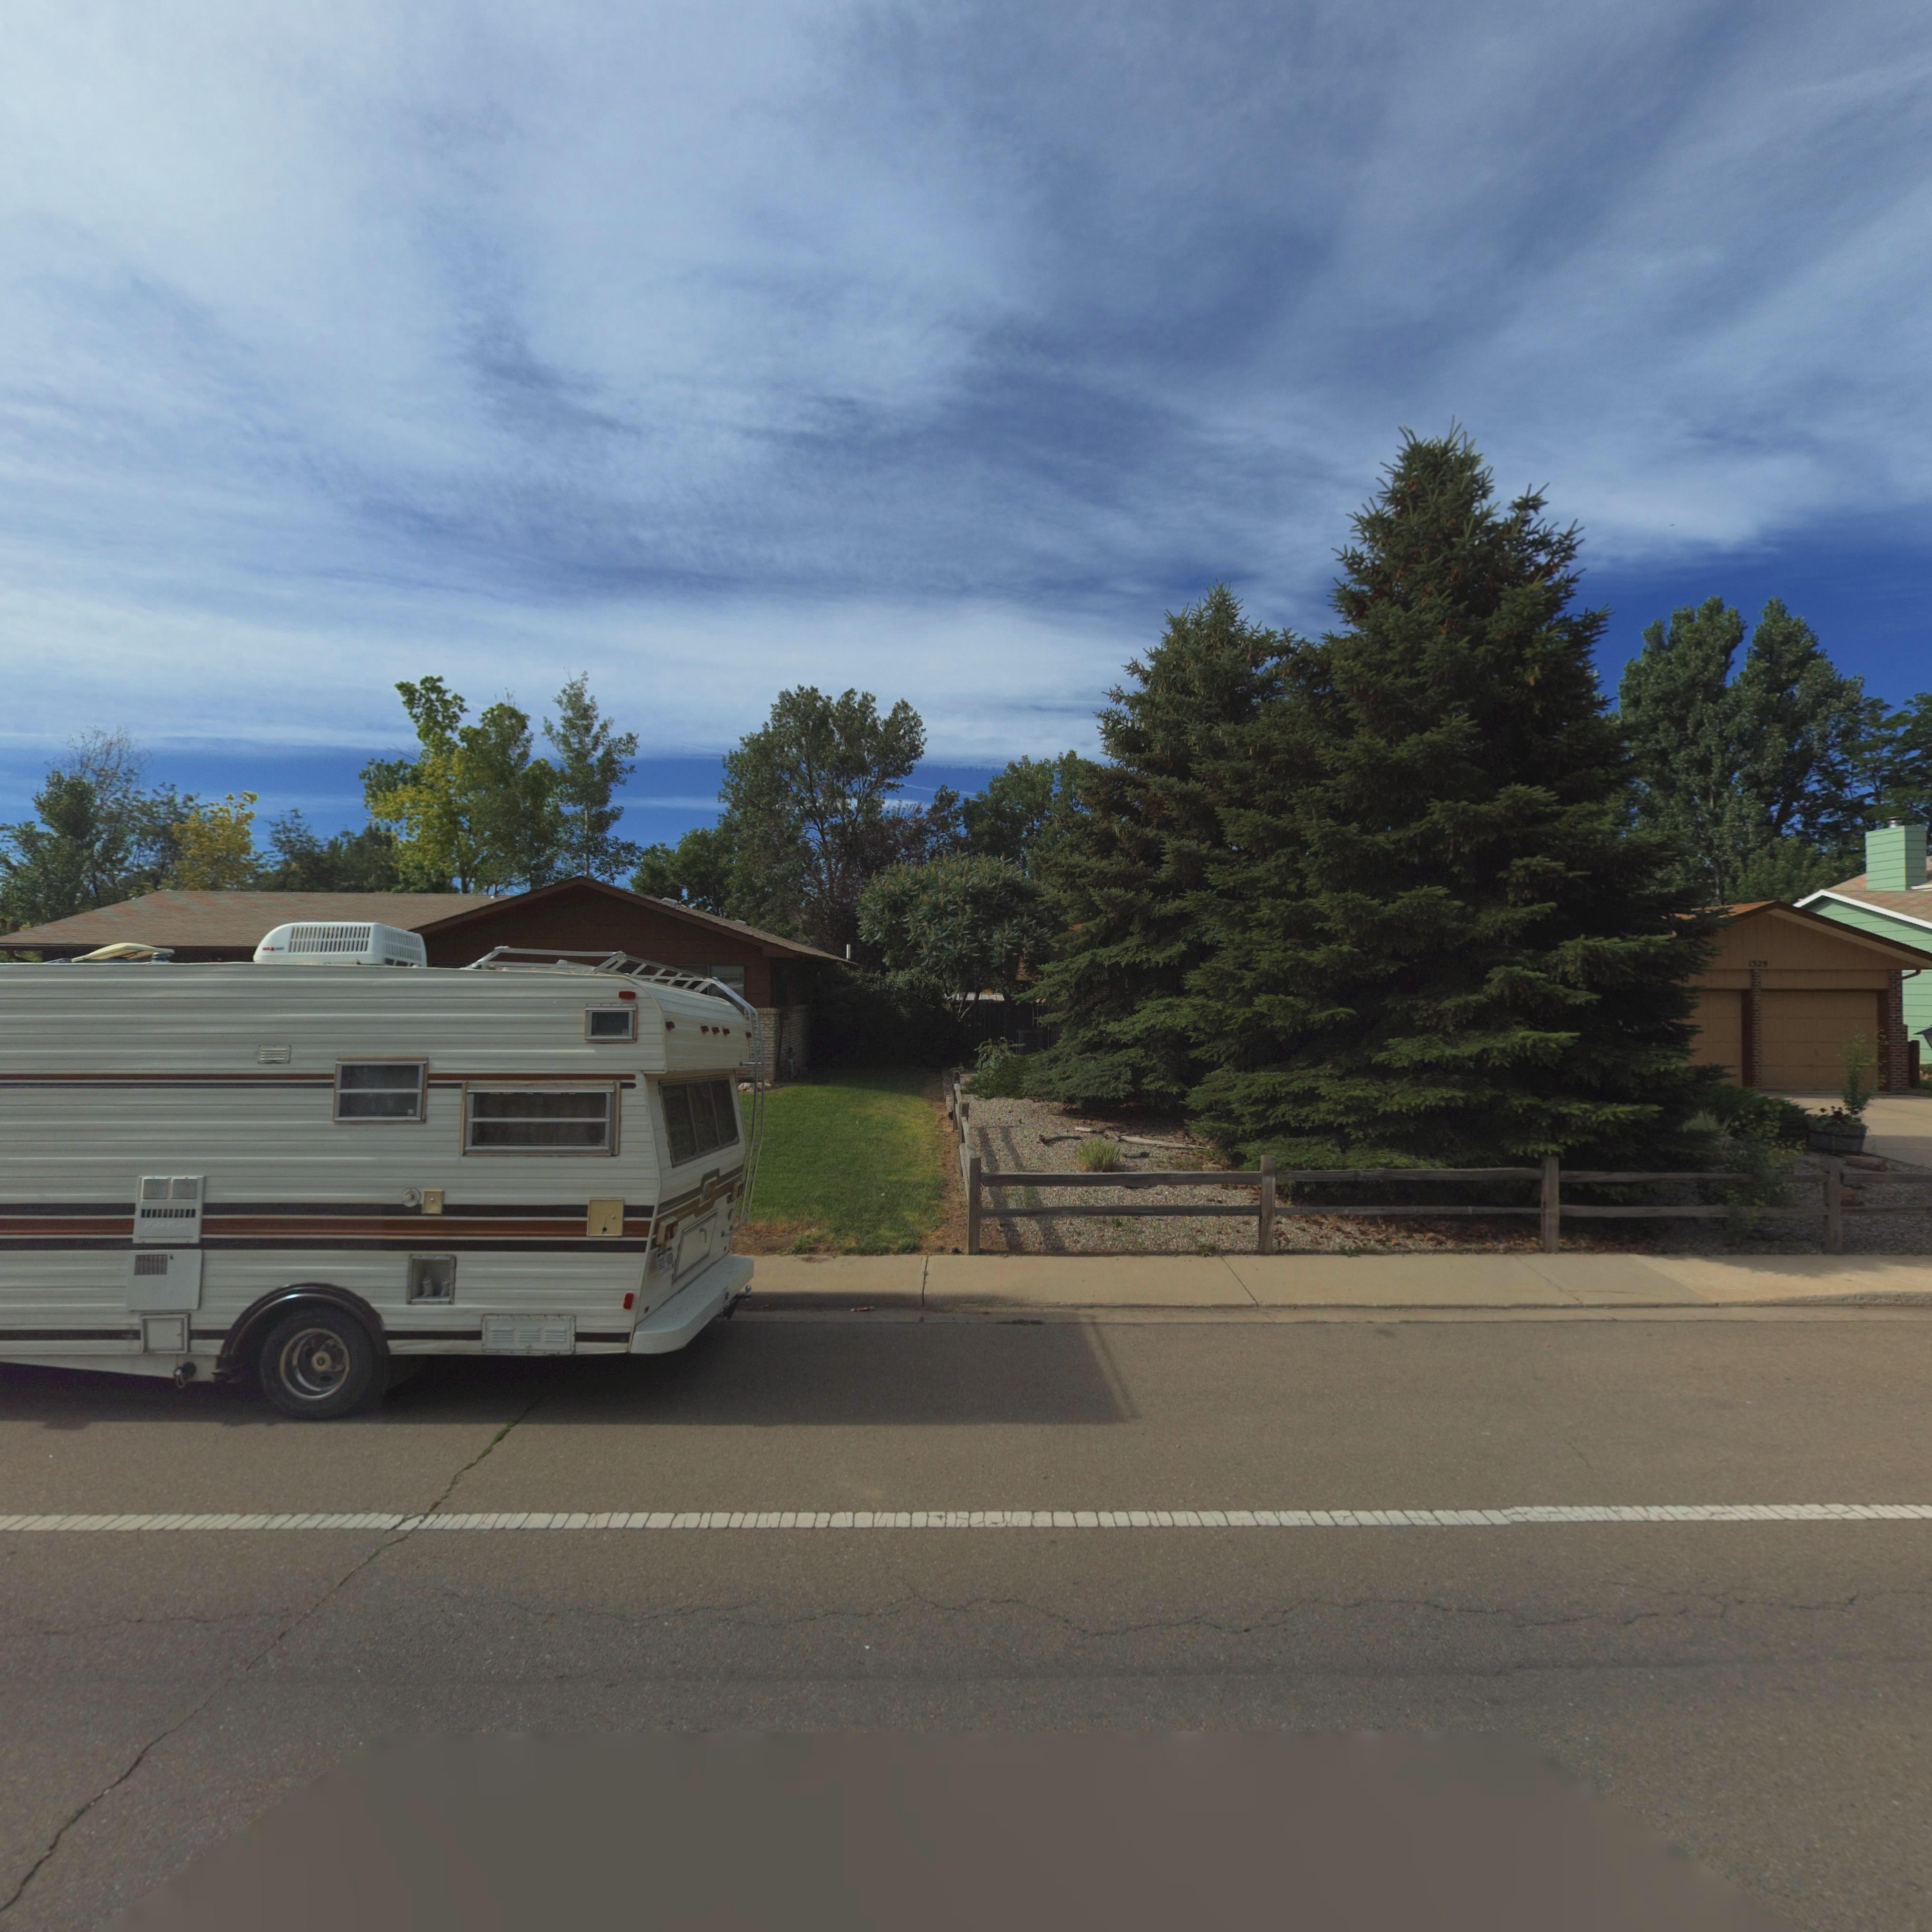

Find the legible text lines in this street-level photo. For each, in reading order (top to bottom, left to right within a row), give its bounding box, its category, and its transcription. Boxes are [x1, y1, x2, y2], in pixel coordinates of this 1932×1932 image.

[1748, 960, 1768, 967] StreetNumber: 1329